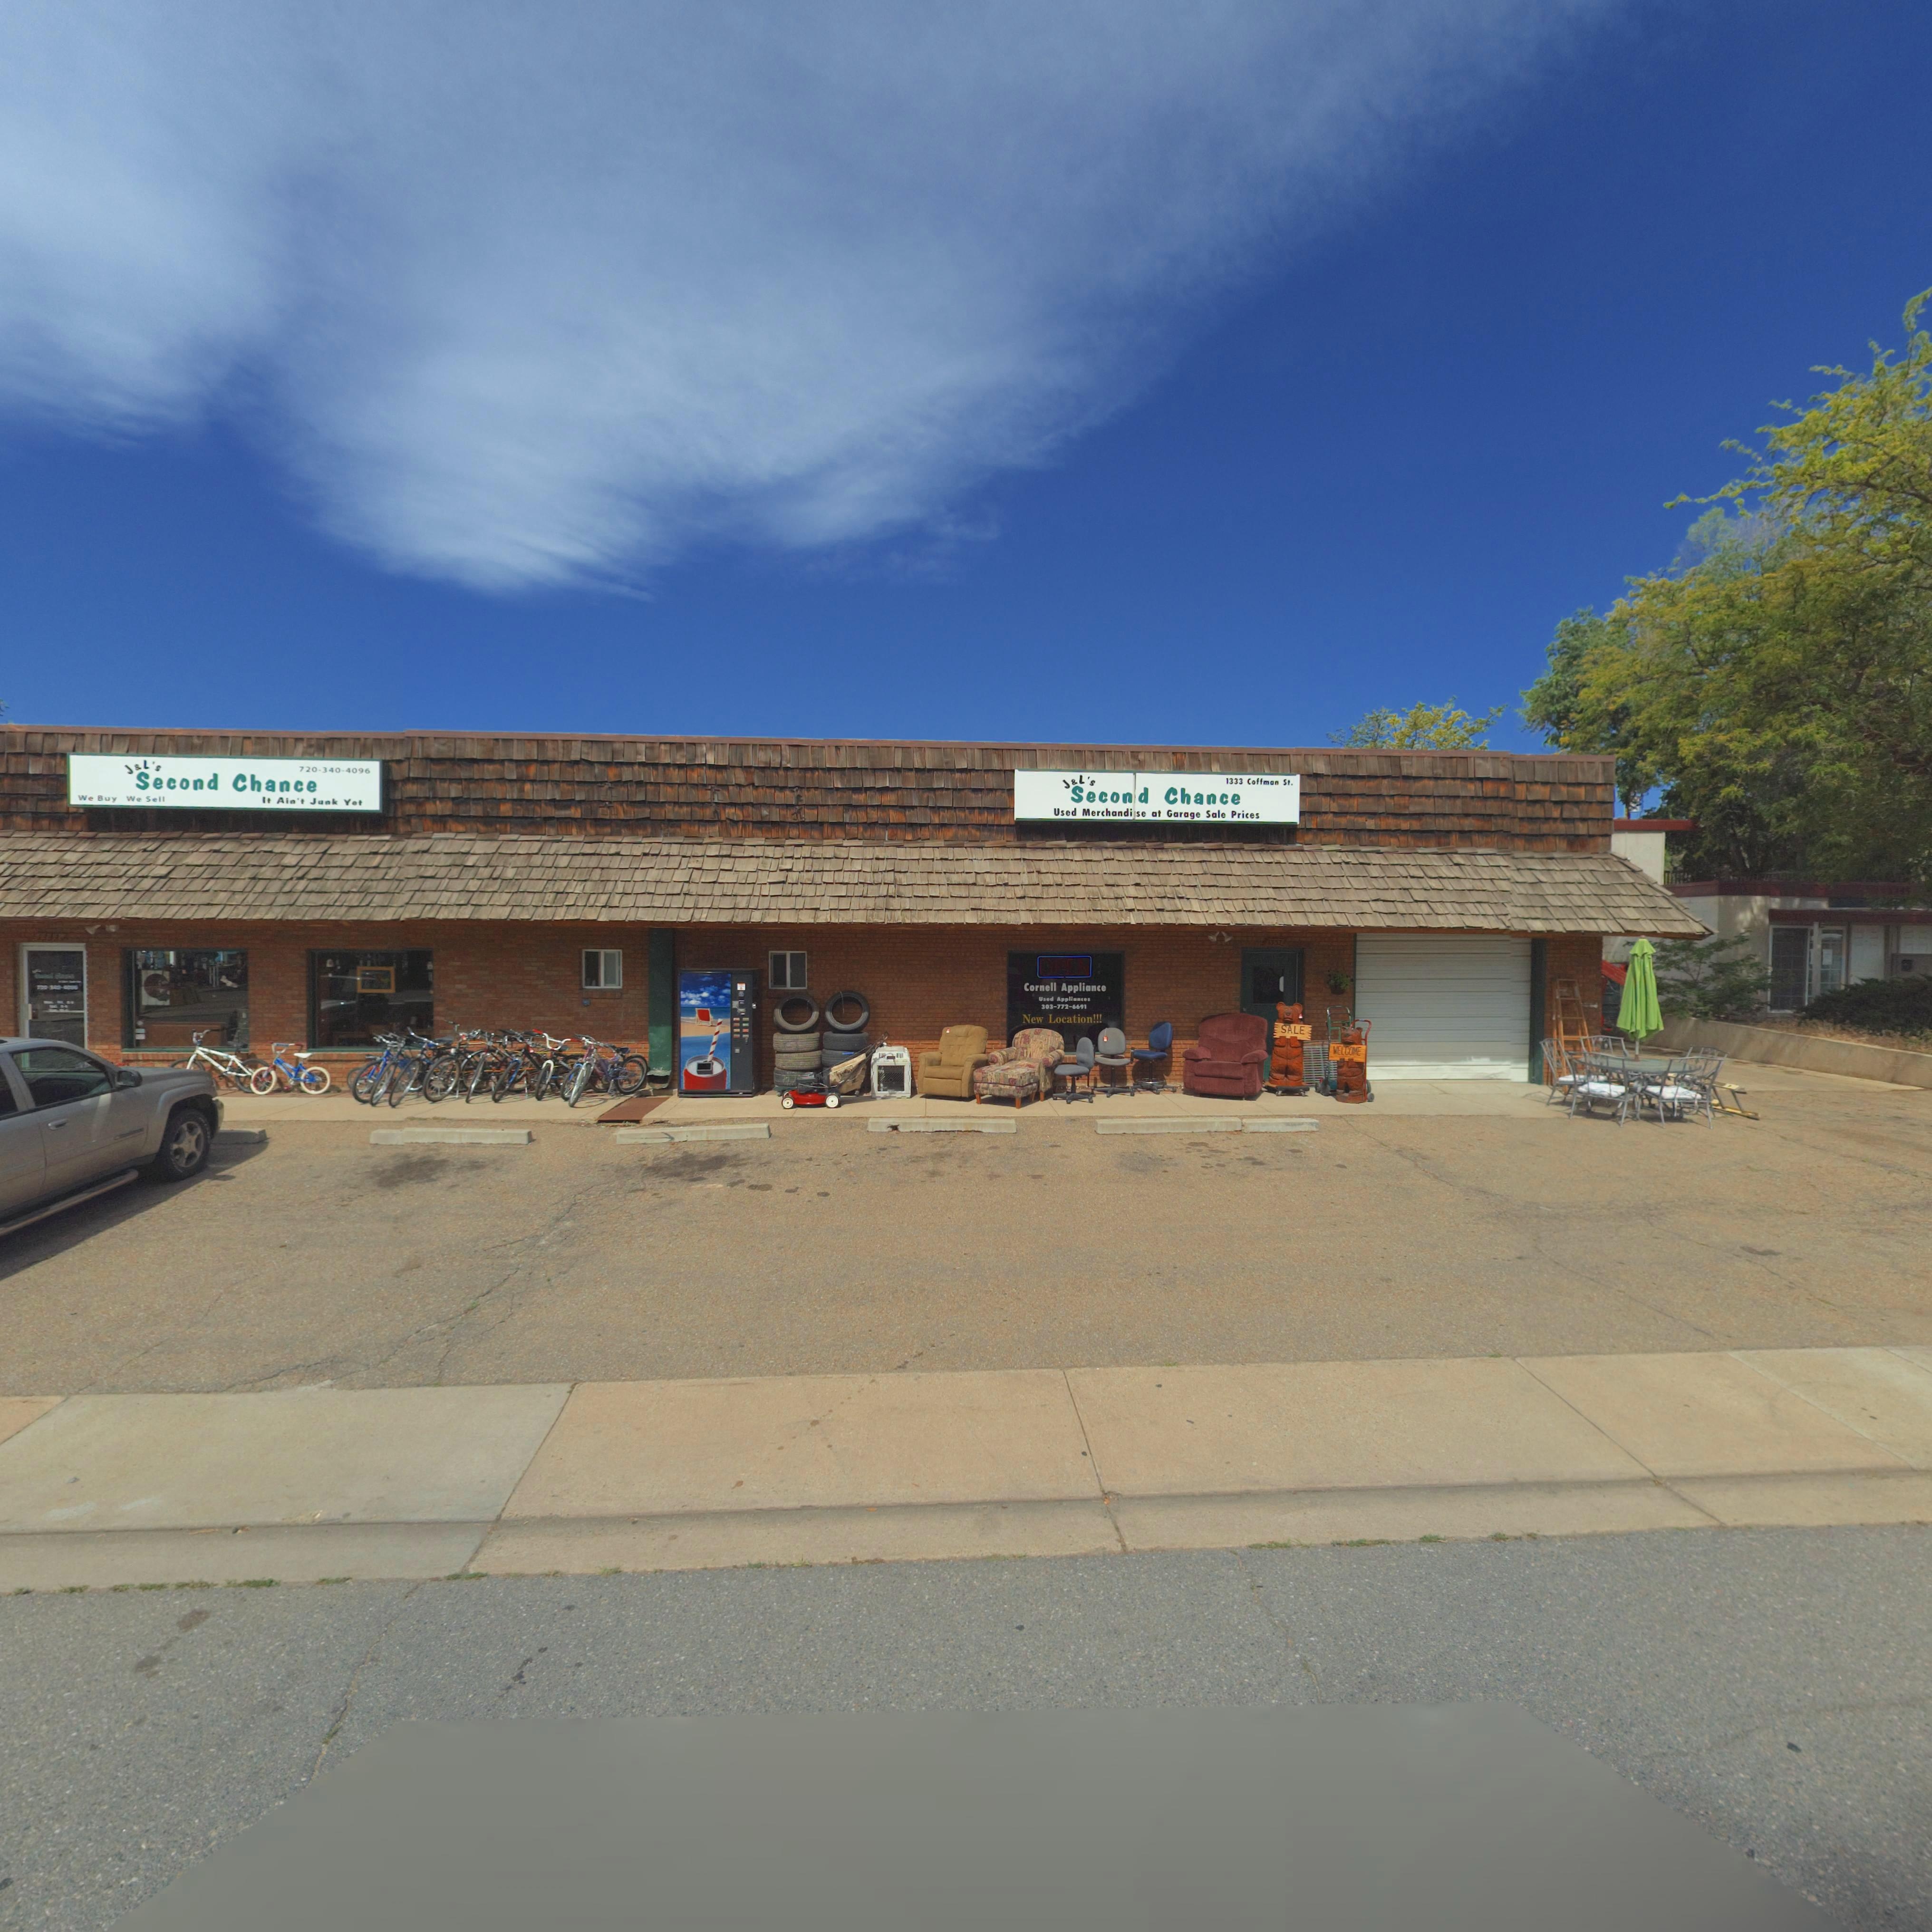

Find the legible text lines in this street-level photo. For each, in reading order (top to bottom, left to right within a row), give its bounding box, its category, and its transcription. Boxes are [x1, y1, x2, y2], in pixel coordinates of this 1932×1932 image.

[124, 759, 162, 775] BusinessName: J&L*s
[135, 771, 317, 793] BusinessName: Second Chance
[1062, 774, 1096, 789] BusinessName: J&L's
[1226, 777, 1243, 784] StreetNumber: 1333
[1247, 777, 1291, 785] StreetName: Coffman St
[1069, 785, 1241, 805] BusinessName: Second Chance
[37, 933, 60, 940] StreetNumber: 1***
[1268, 939, 1282, 945] StreetNumber: 1**7
[1023, 981, 1107, 994] BusinessName: Cornell Appliance